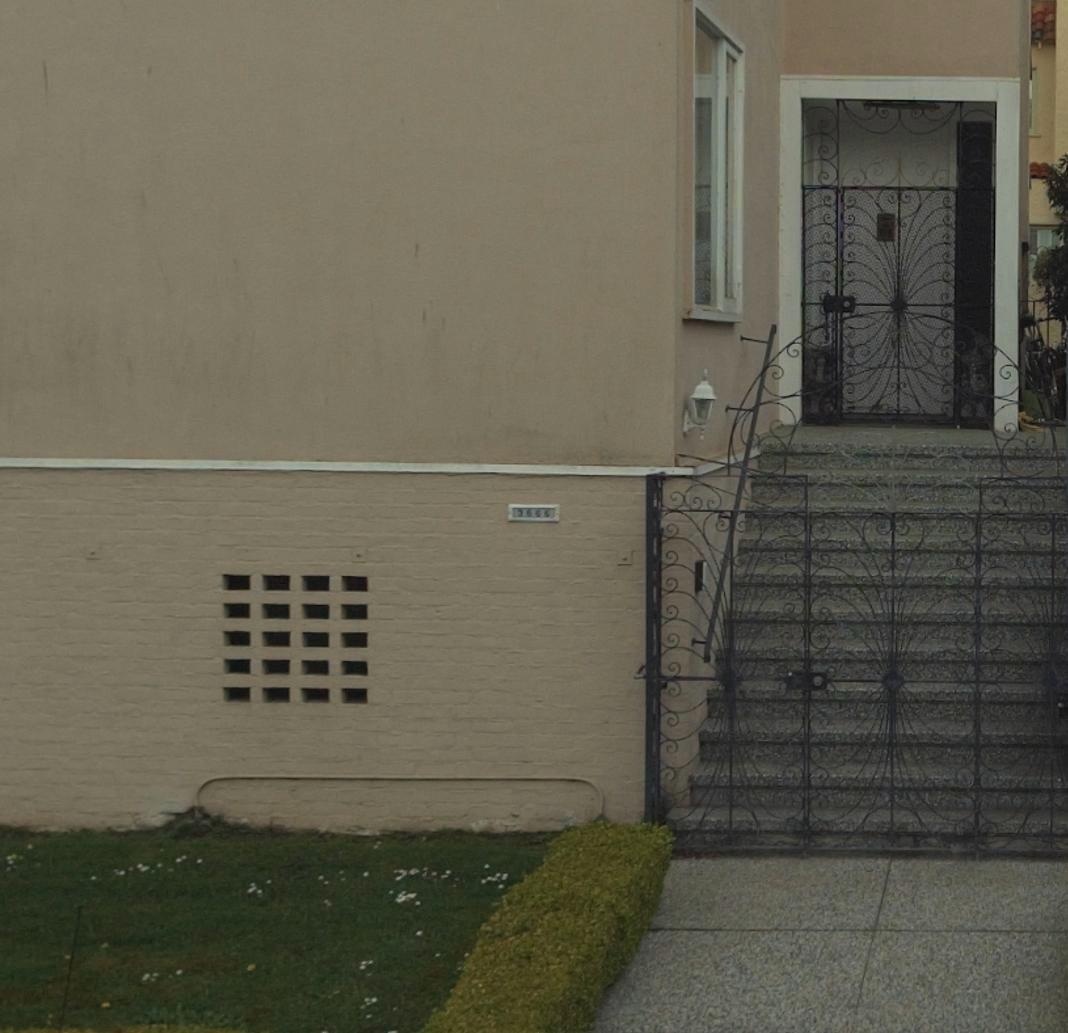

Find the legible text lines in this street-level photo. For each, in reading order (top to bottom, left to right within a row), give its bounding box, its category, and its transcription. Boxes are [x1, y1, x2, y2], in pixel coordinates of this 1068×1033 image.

[515, 506, 553, 520] StreetNumber: 3666